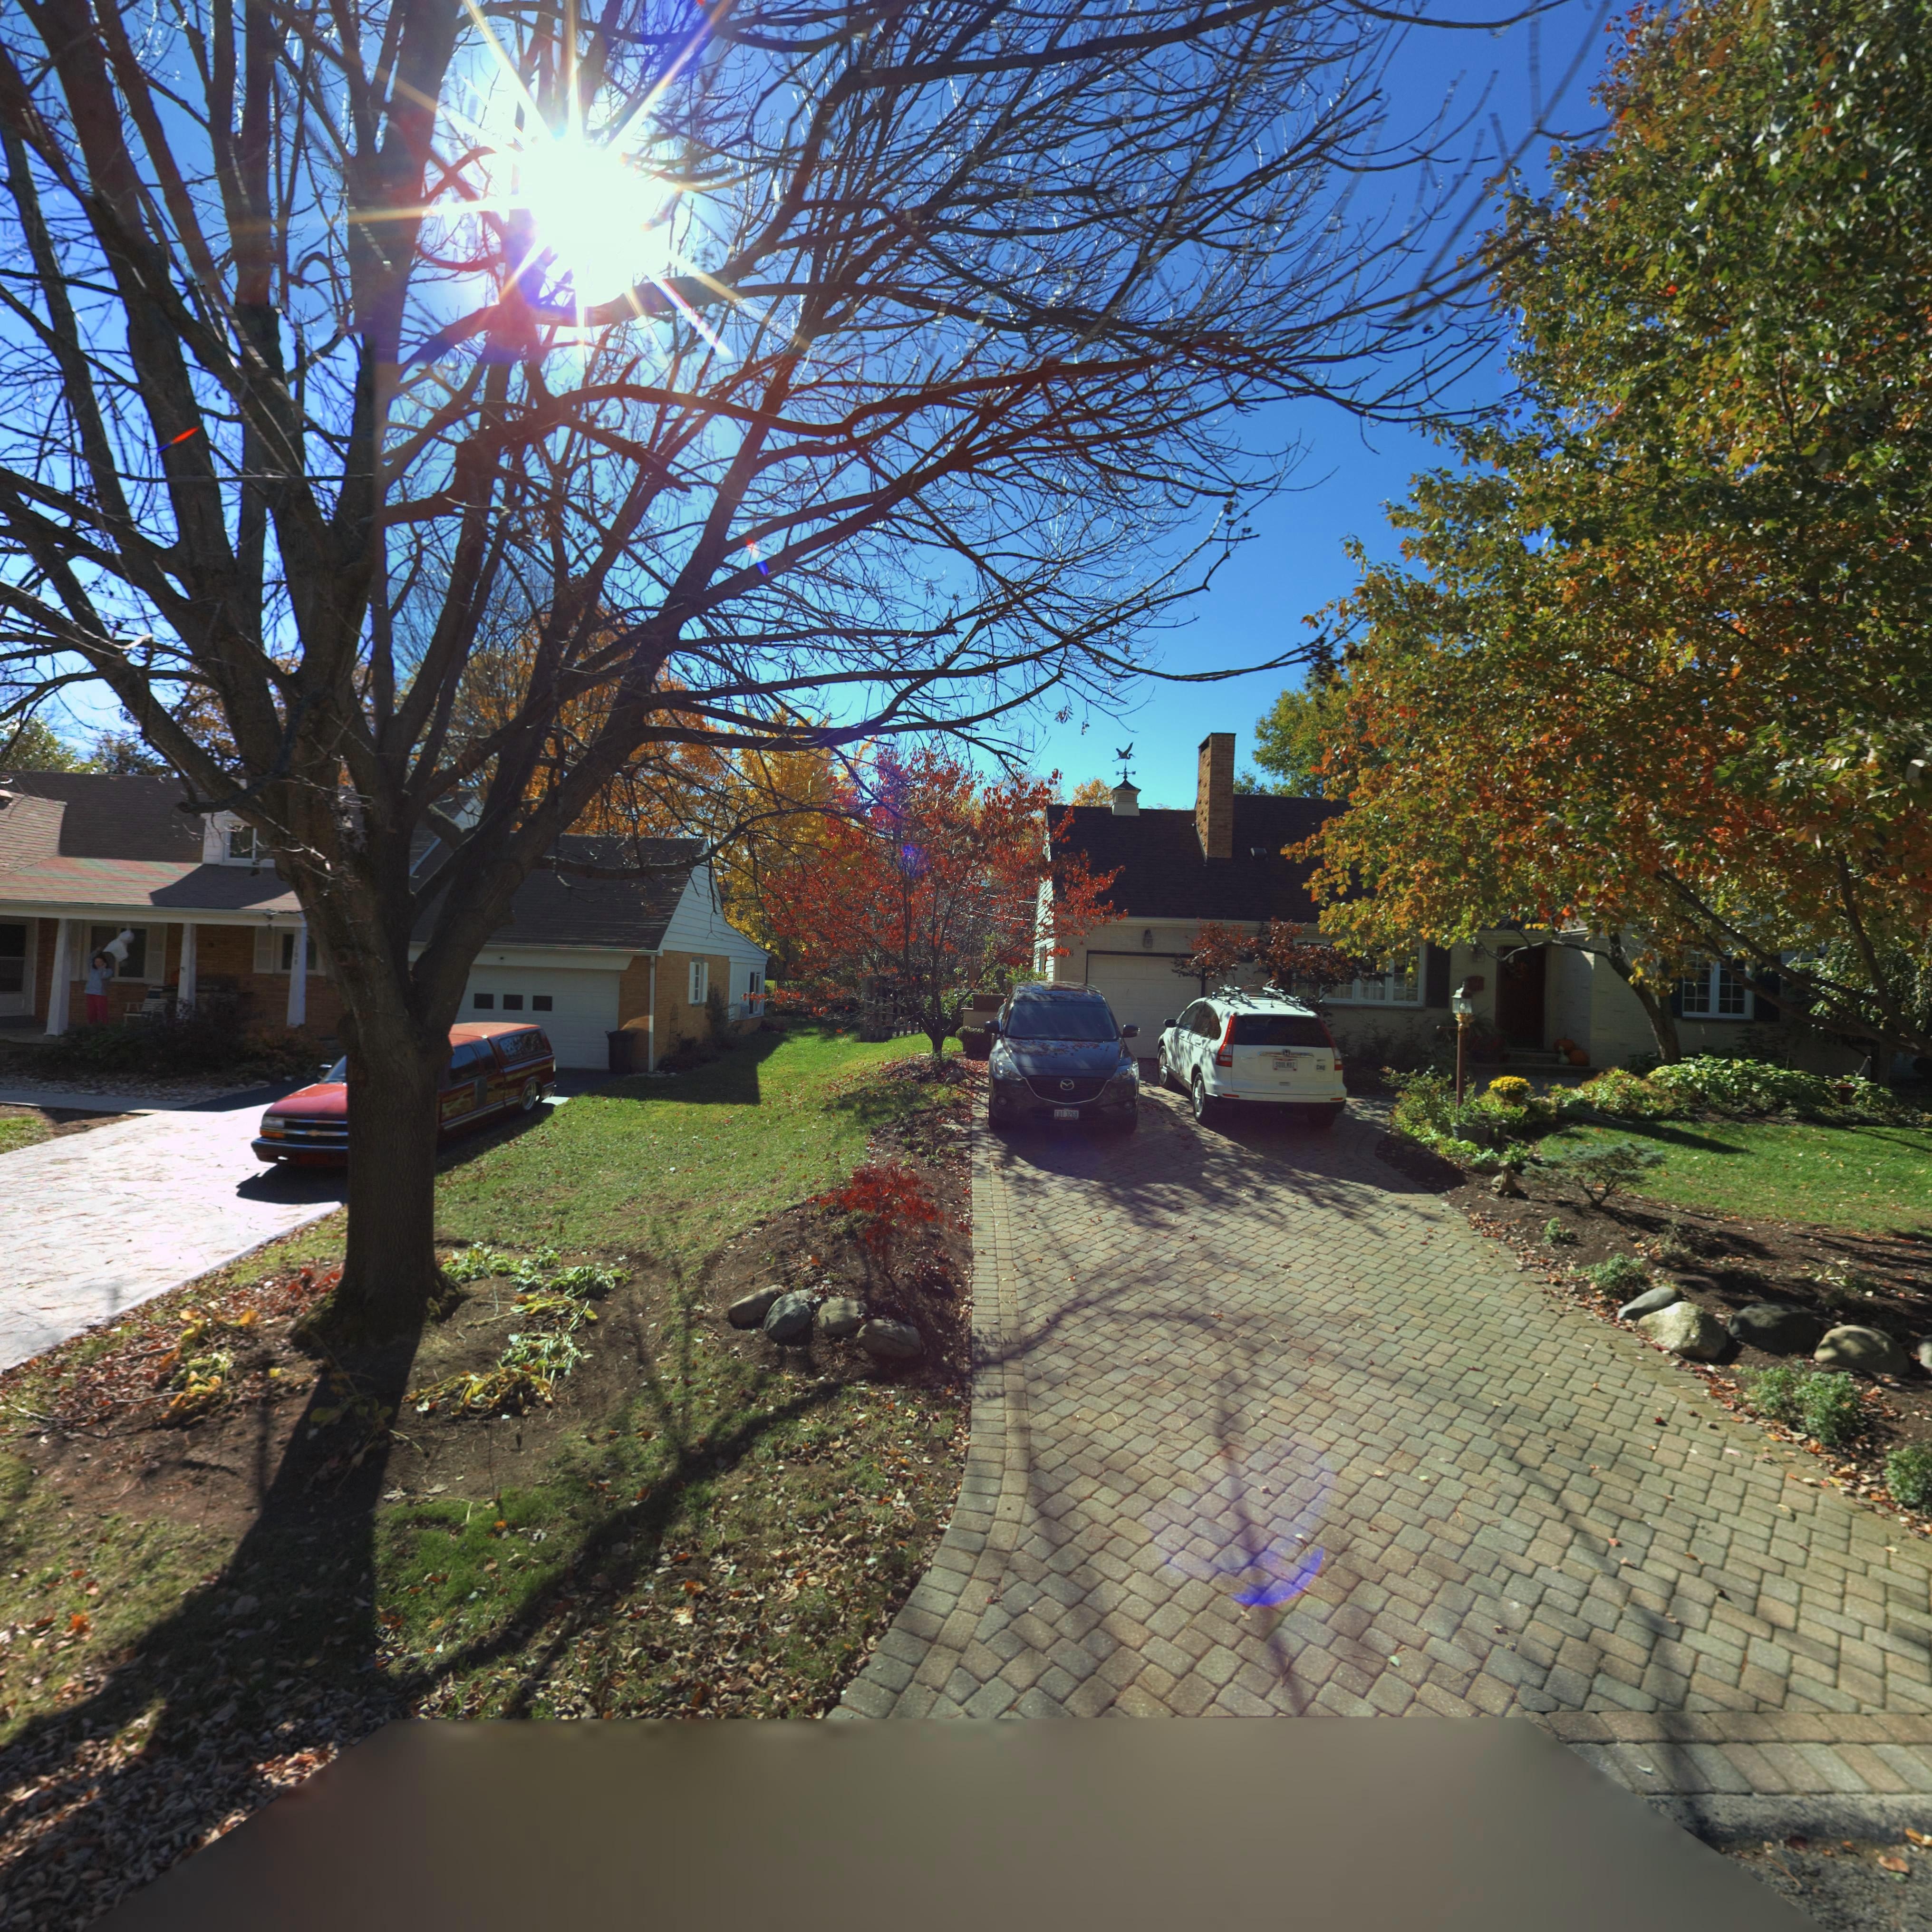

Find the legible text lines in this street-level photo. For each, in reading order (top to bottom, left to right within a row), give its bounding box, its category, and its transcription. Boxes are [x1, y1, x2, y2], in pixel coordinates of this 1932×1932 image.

[293, 945, 299, 966] StreetNumber: *0*